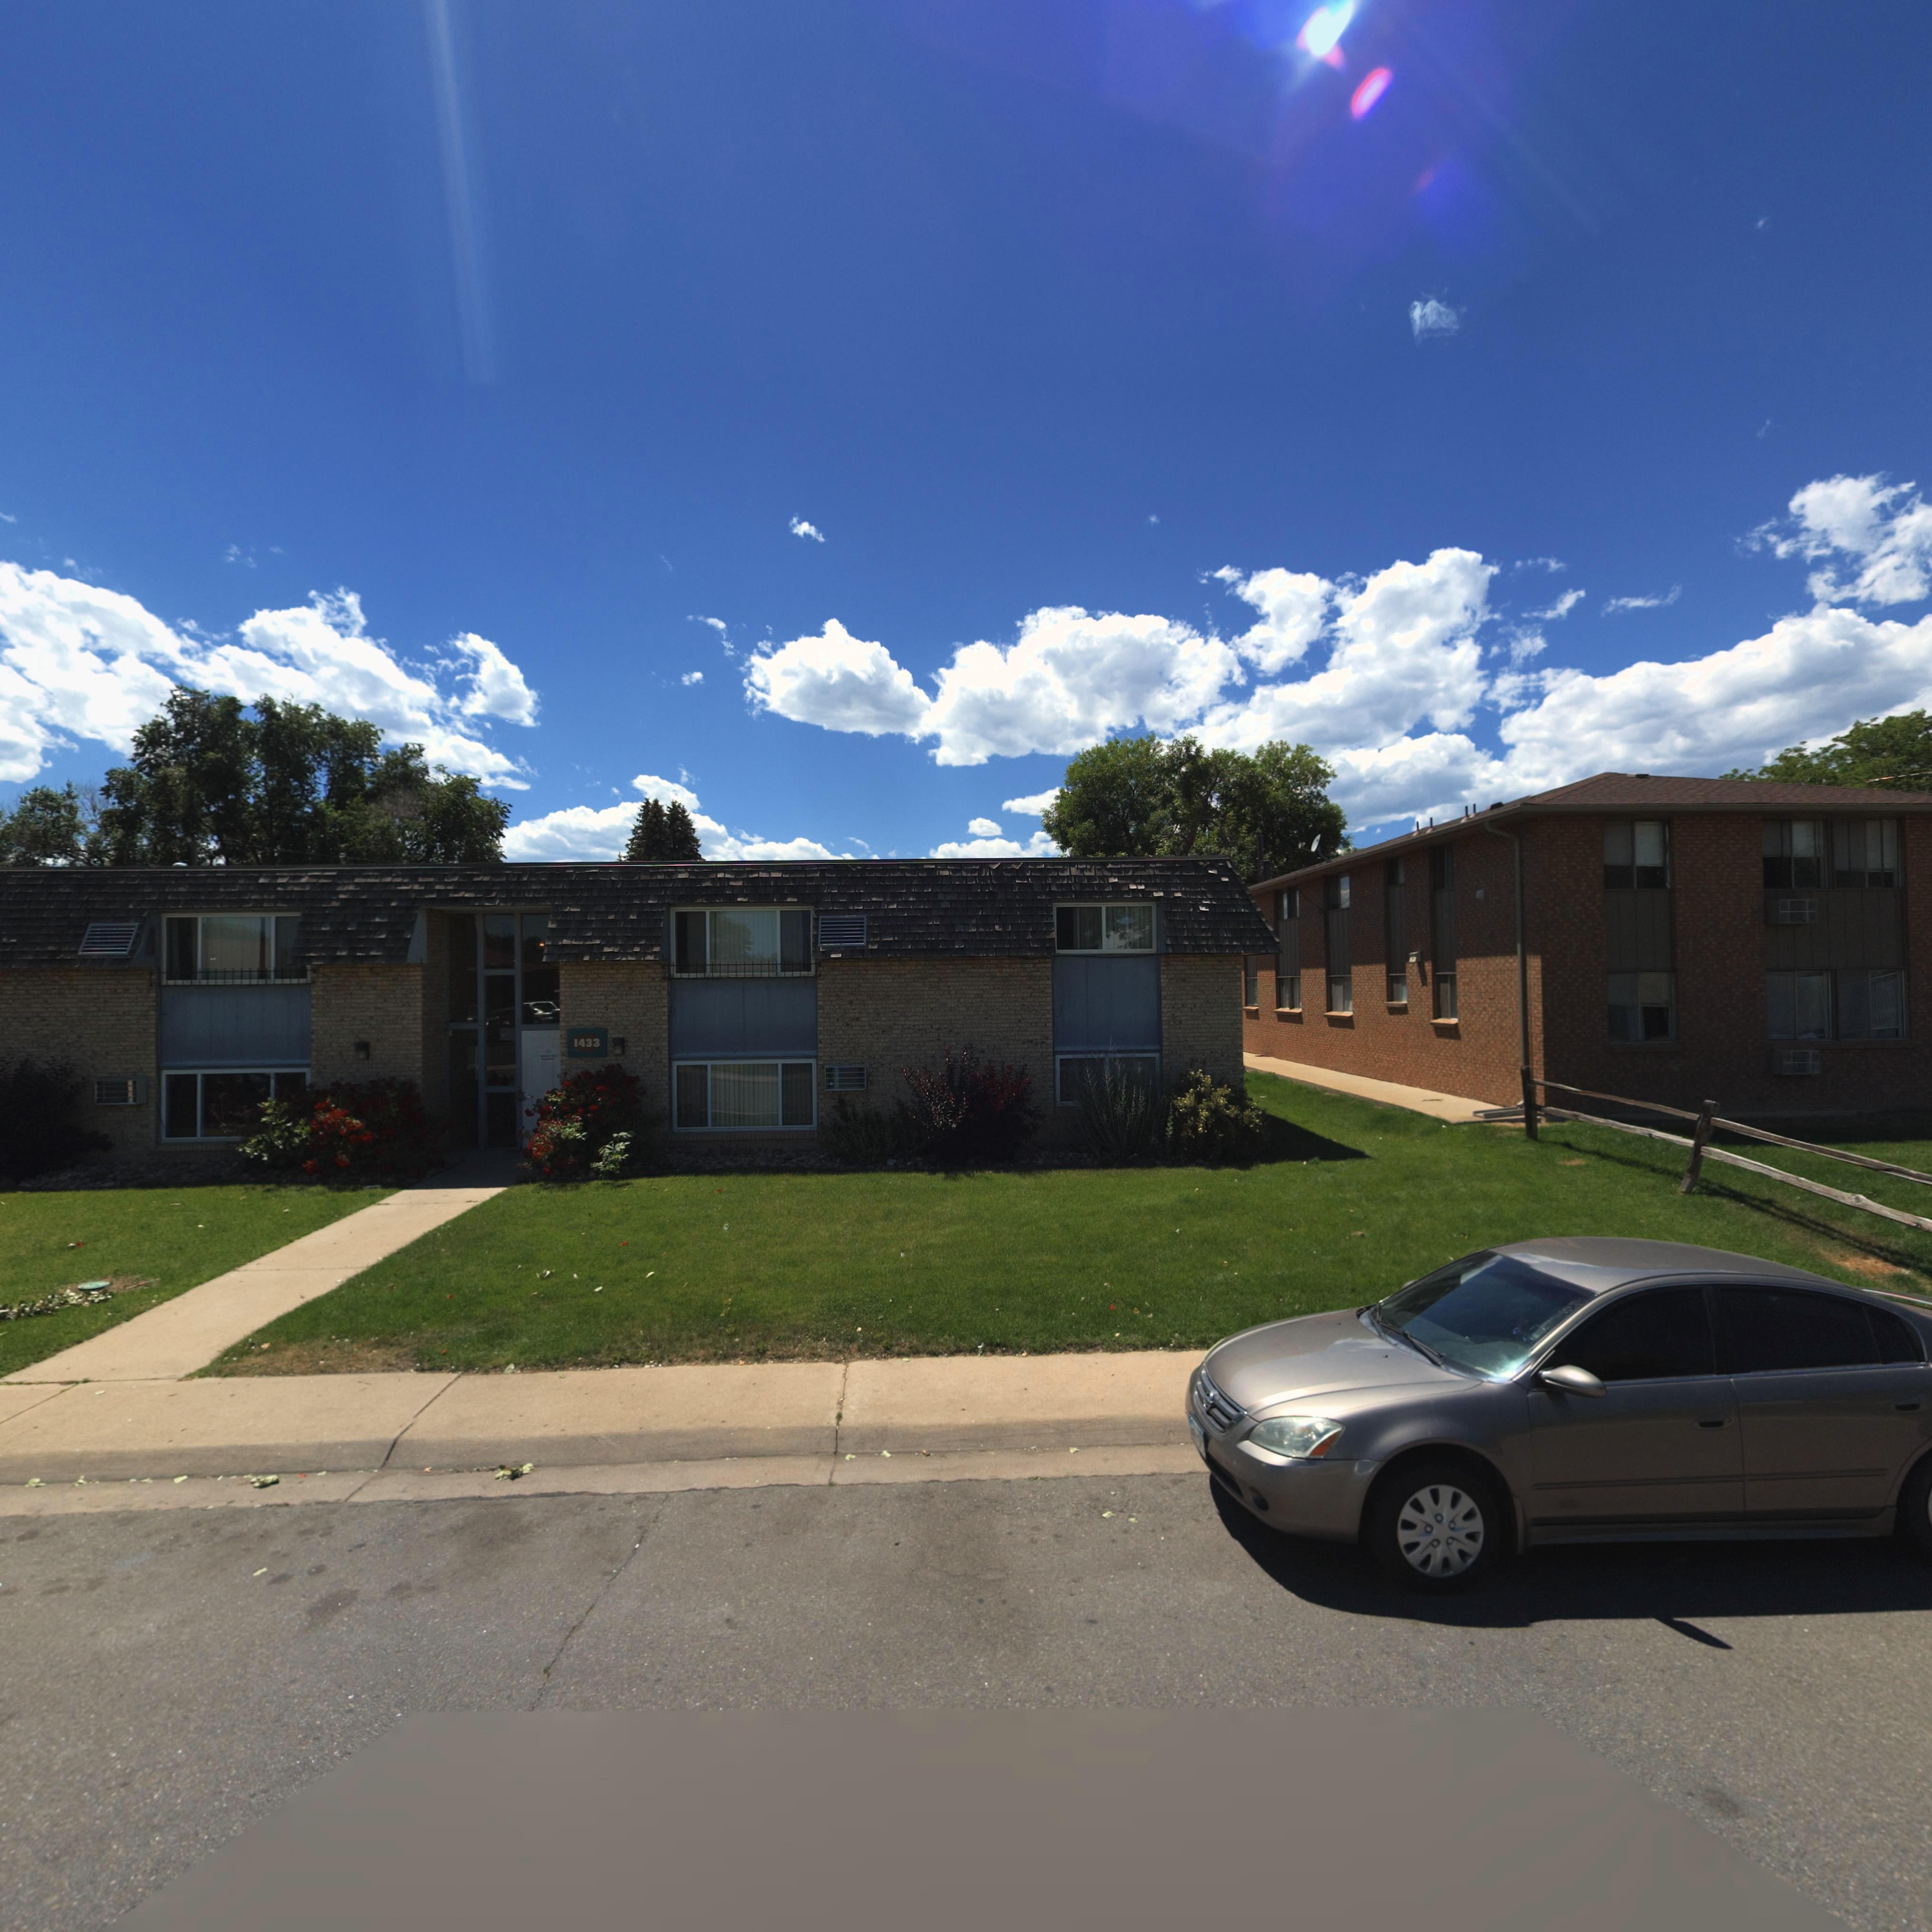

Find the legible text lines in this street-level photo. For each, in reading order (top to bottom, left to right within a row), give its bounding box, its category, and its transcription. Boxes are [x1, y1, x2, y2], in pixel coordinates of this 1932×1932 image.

[573, 1037, 600, 1047] StreetNumber: 1433